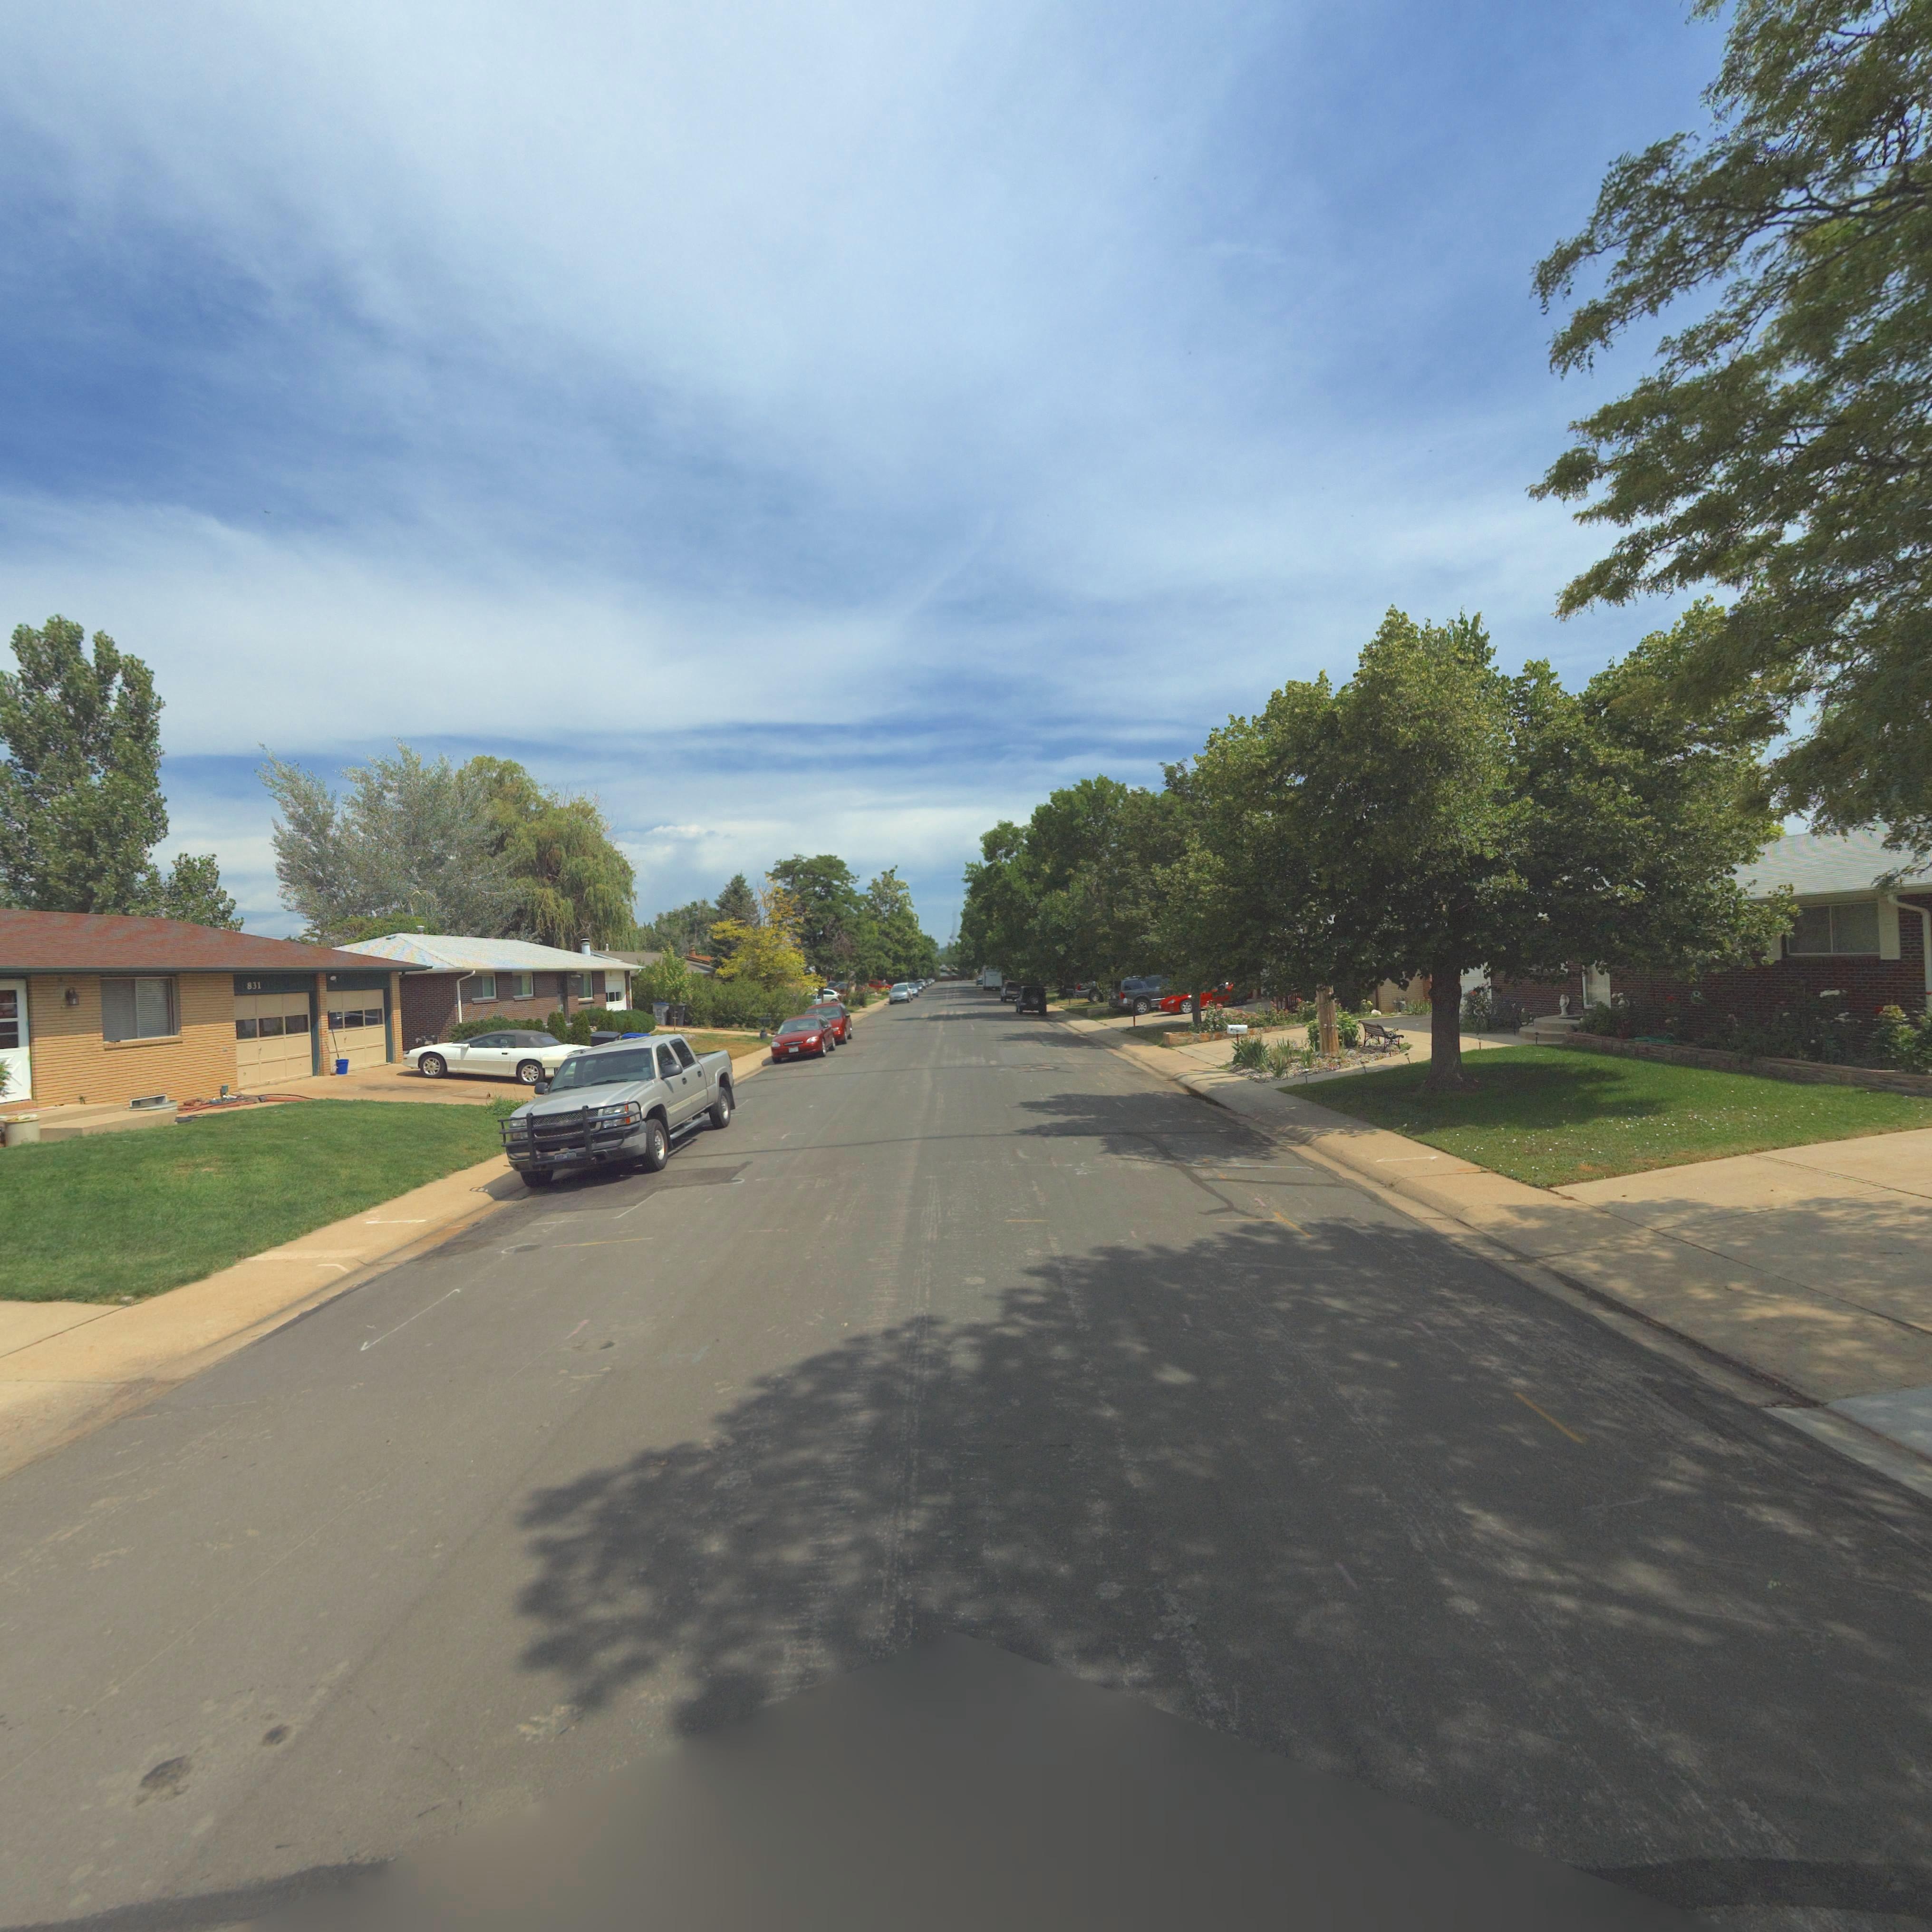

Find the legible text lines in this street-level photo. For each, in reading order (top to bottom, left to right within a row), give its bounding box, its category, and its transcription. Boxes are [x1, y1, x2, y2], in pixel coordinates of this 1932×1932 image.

[246, 981, 261, 990] StreetNumber: 831